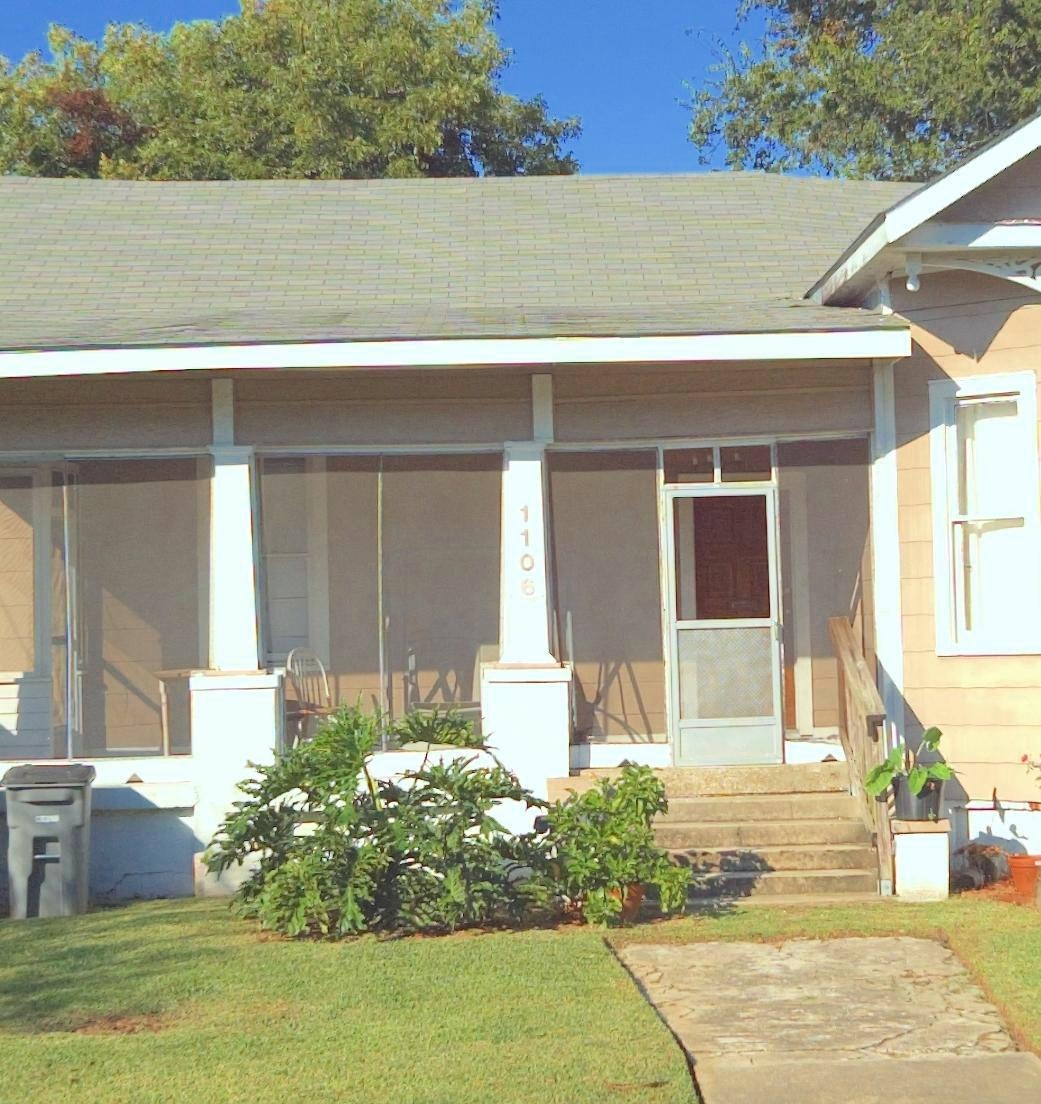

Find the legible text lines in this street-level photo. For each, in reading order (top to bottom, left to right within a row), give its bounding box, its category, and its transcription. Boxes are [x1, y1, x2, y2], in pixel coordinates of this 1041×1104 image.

[516, 501, 540, 603] StreetNumber: 1106